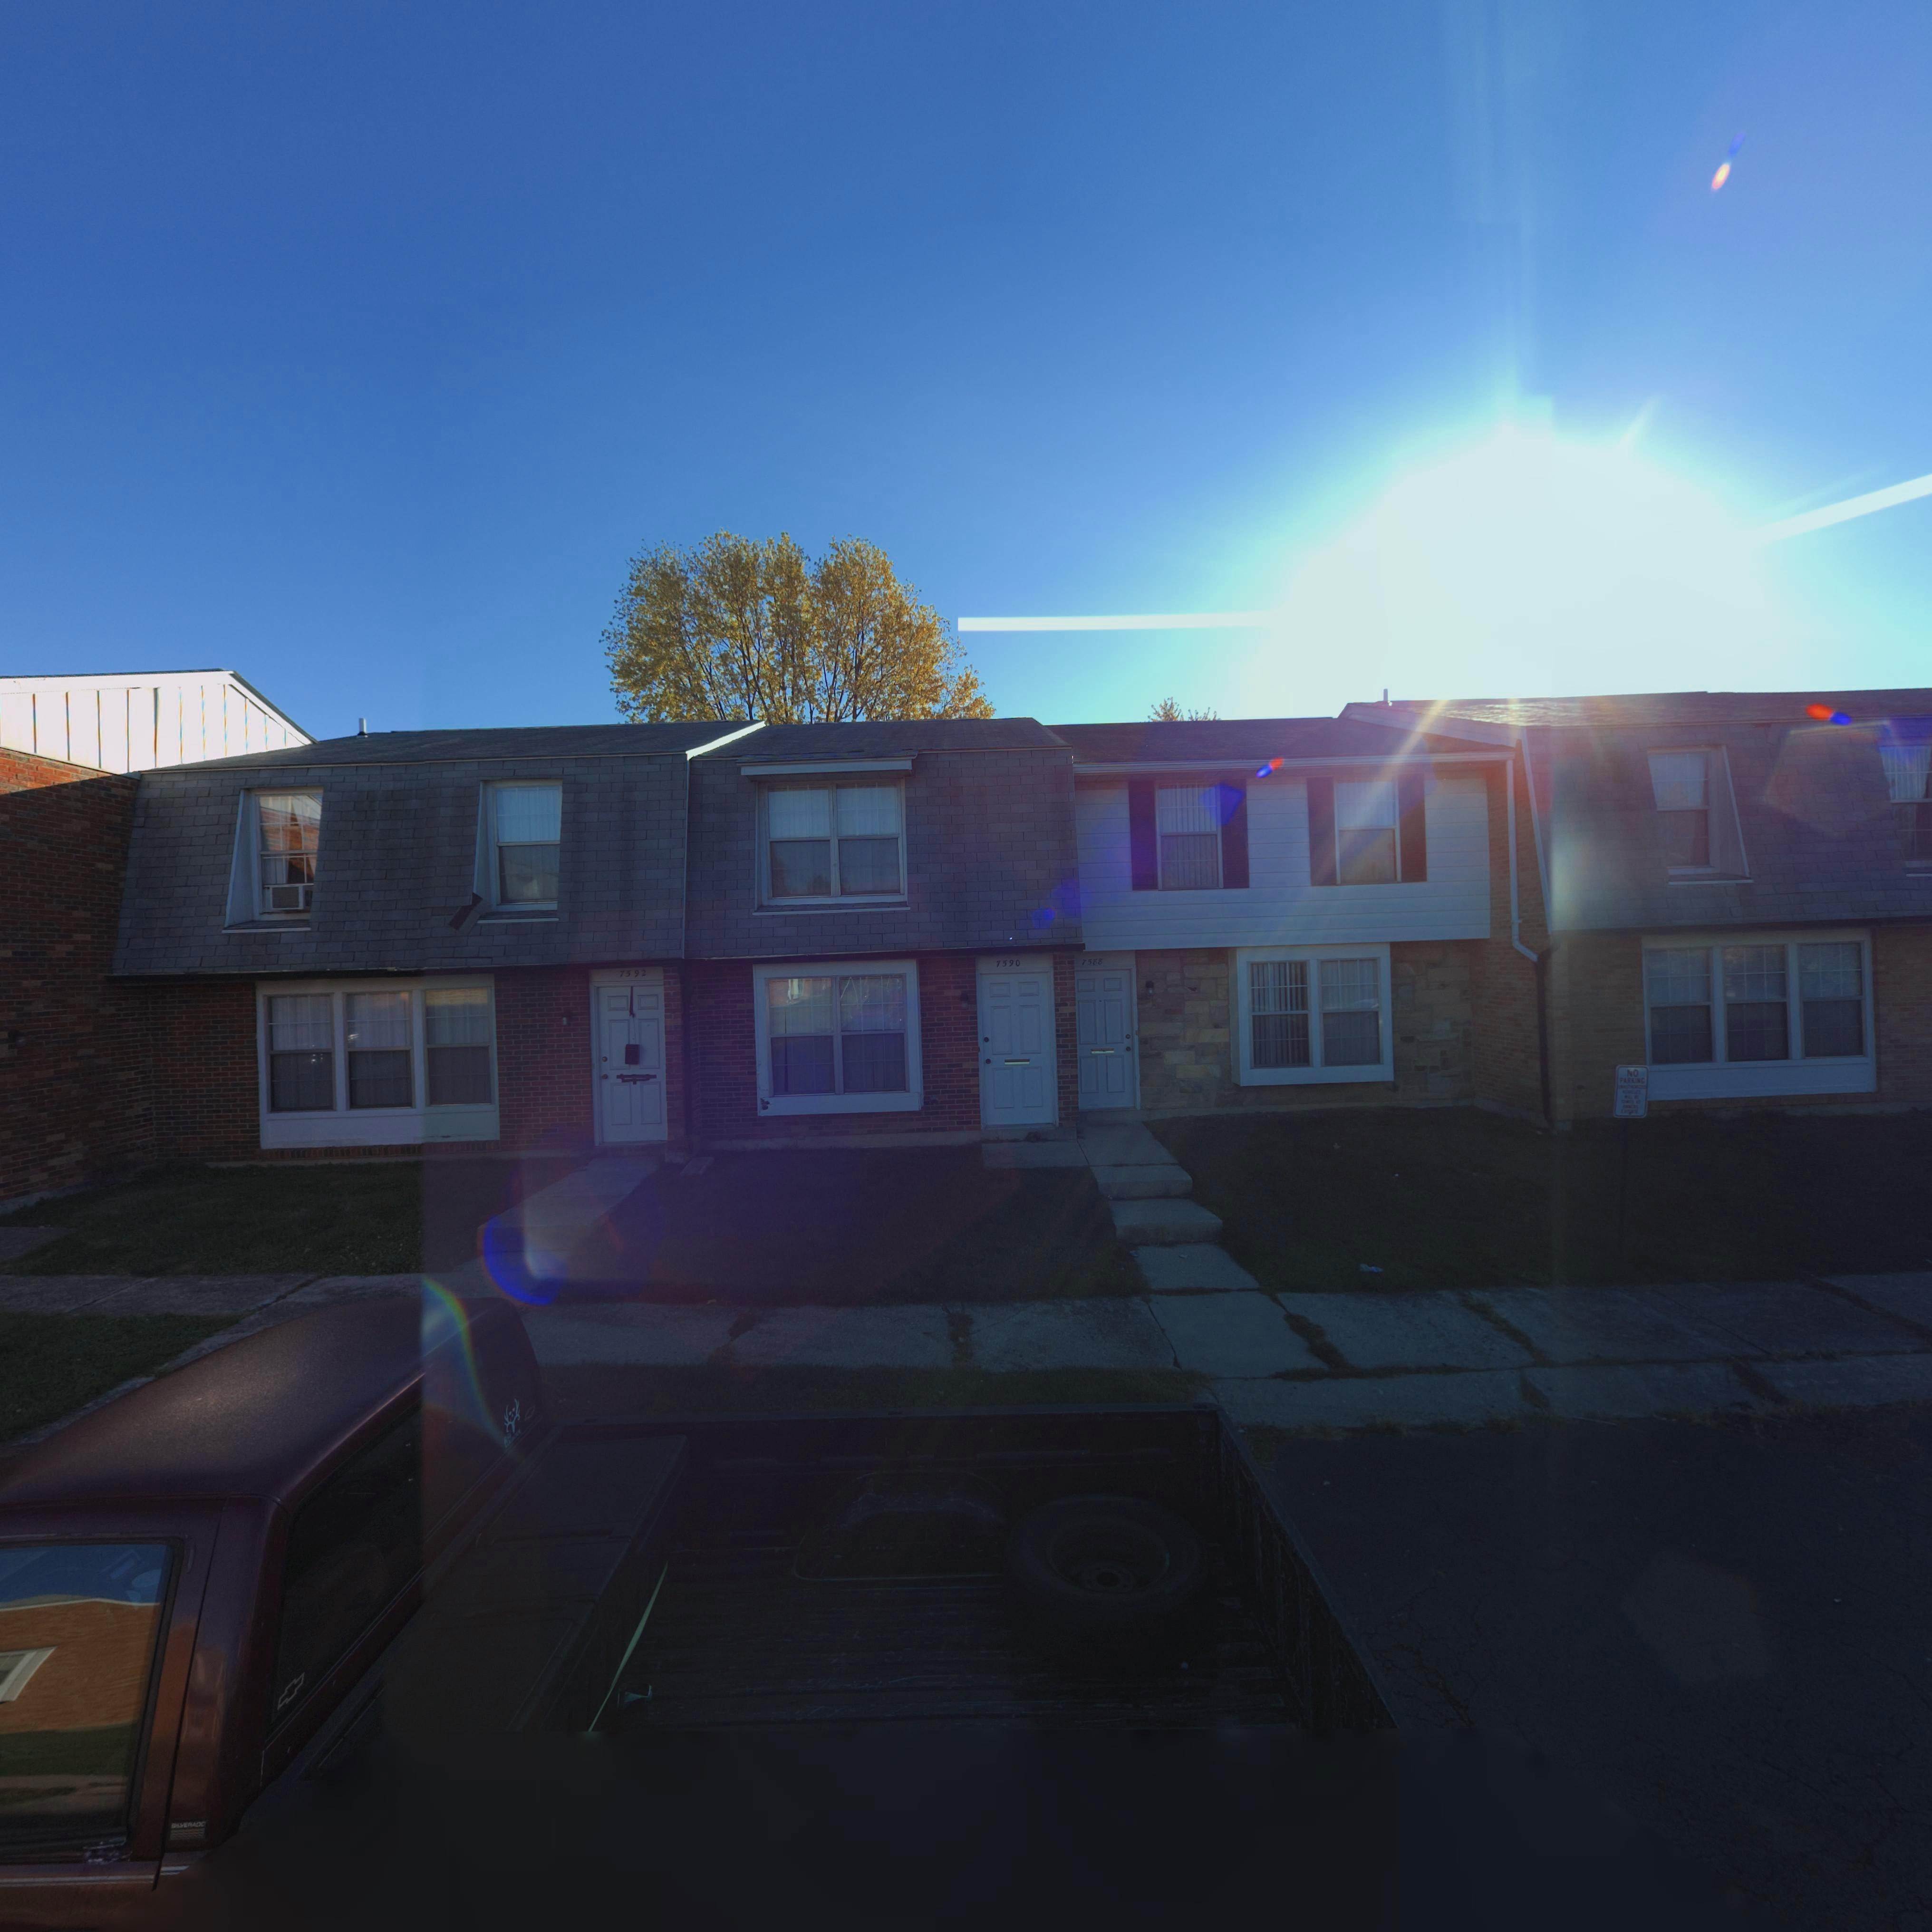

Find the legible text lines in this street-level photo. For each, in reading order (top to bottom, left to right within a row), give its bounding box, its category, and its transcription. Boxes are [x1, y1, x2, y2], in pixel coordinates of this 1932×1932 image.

[995, 958, 1021, 969] StreetNumber: 7590
[1081, 957, 1104, 966] StreetNumber: 7588
[619, 968, 648, 979] StreetNumber: 7592